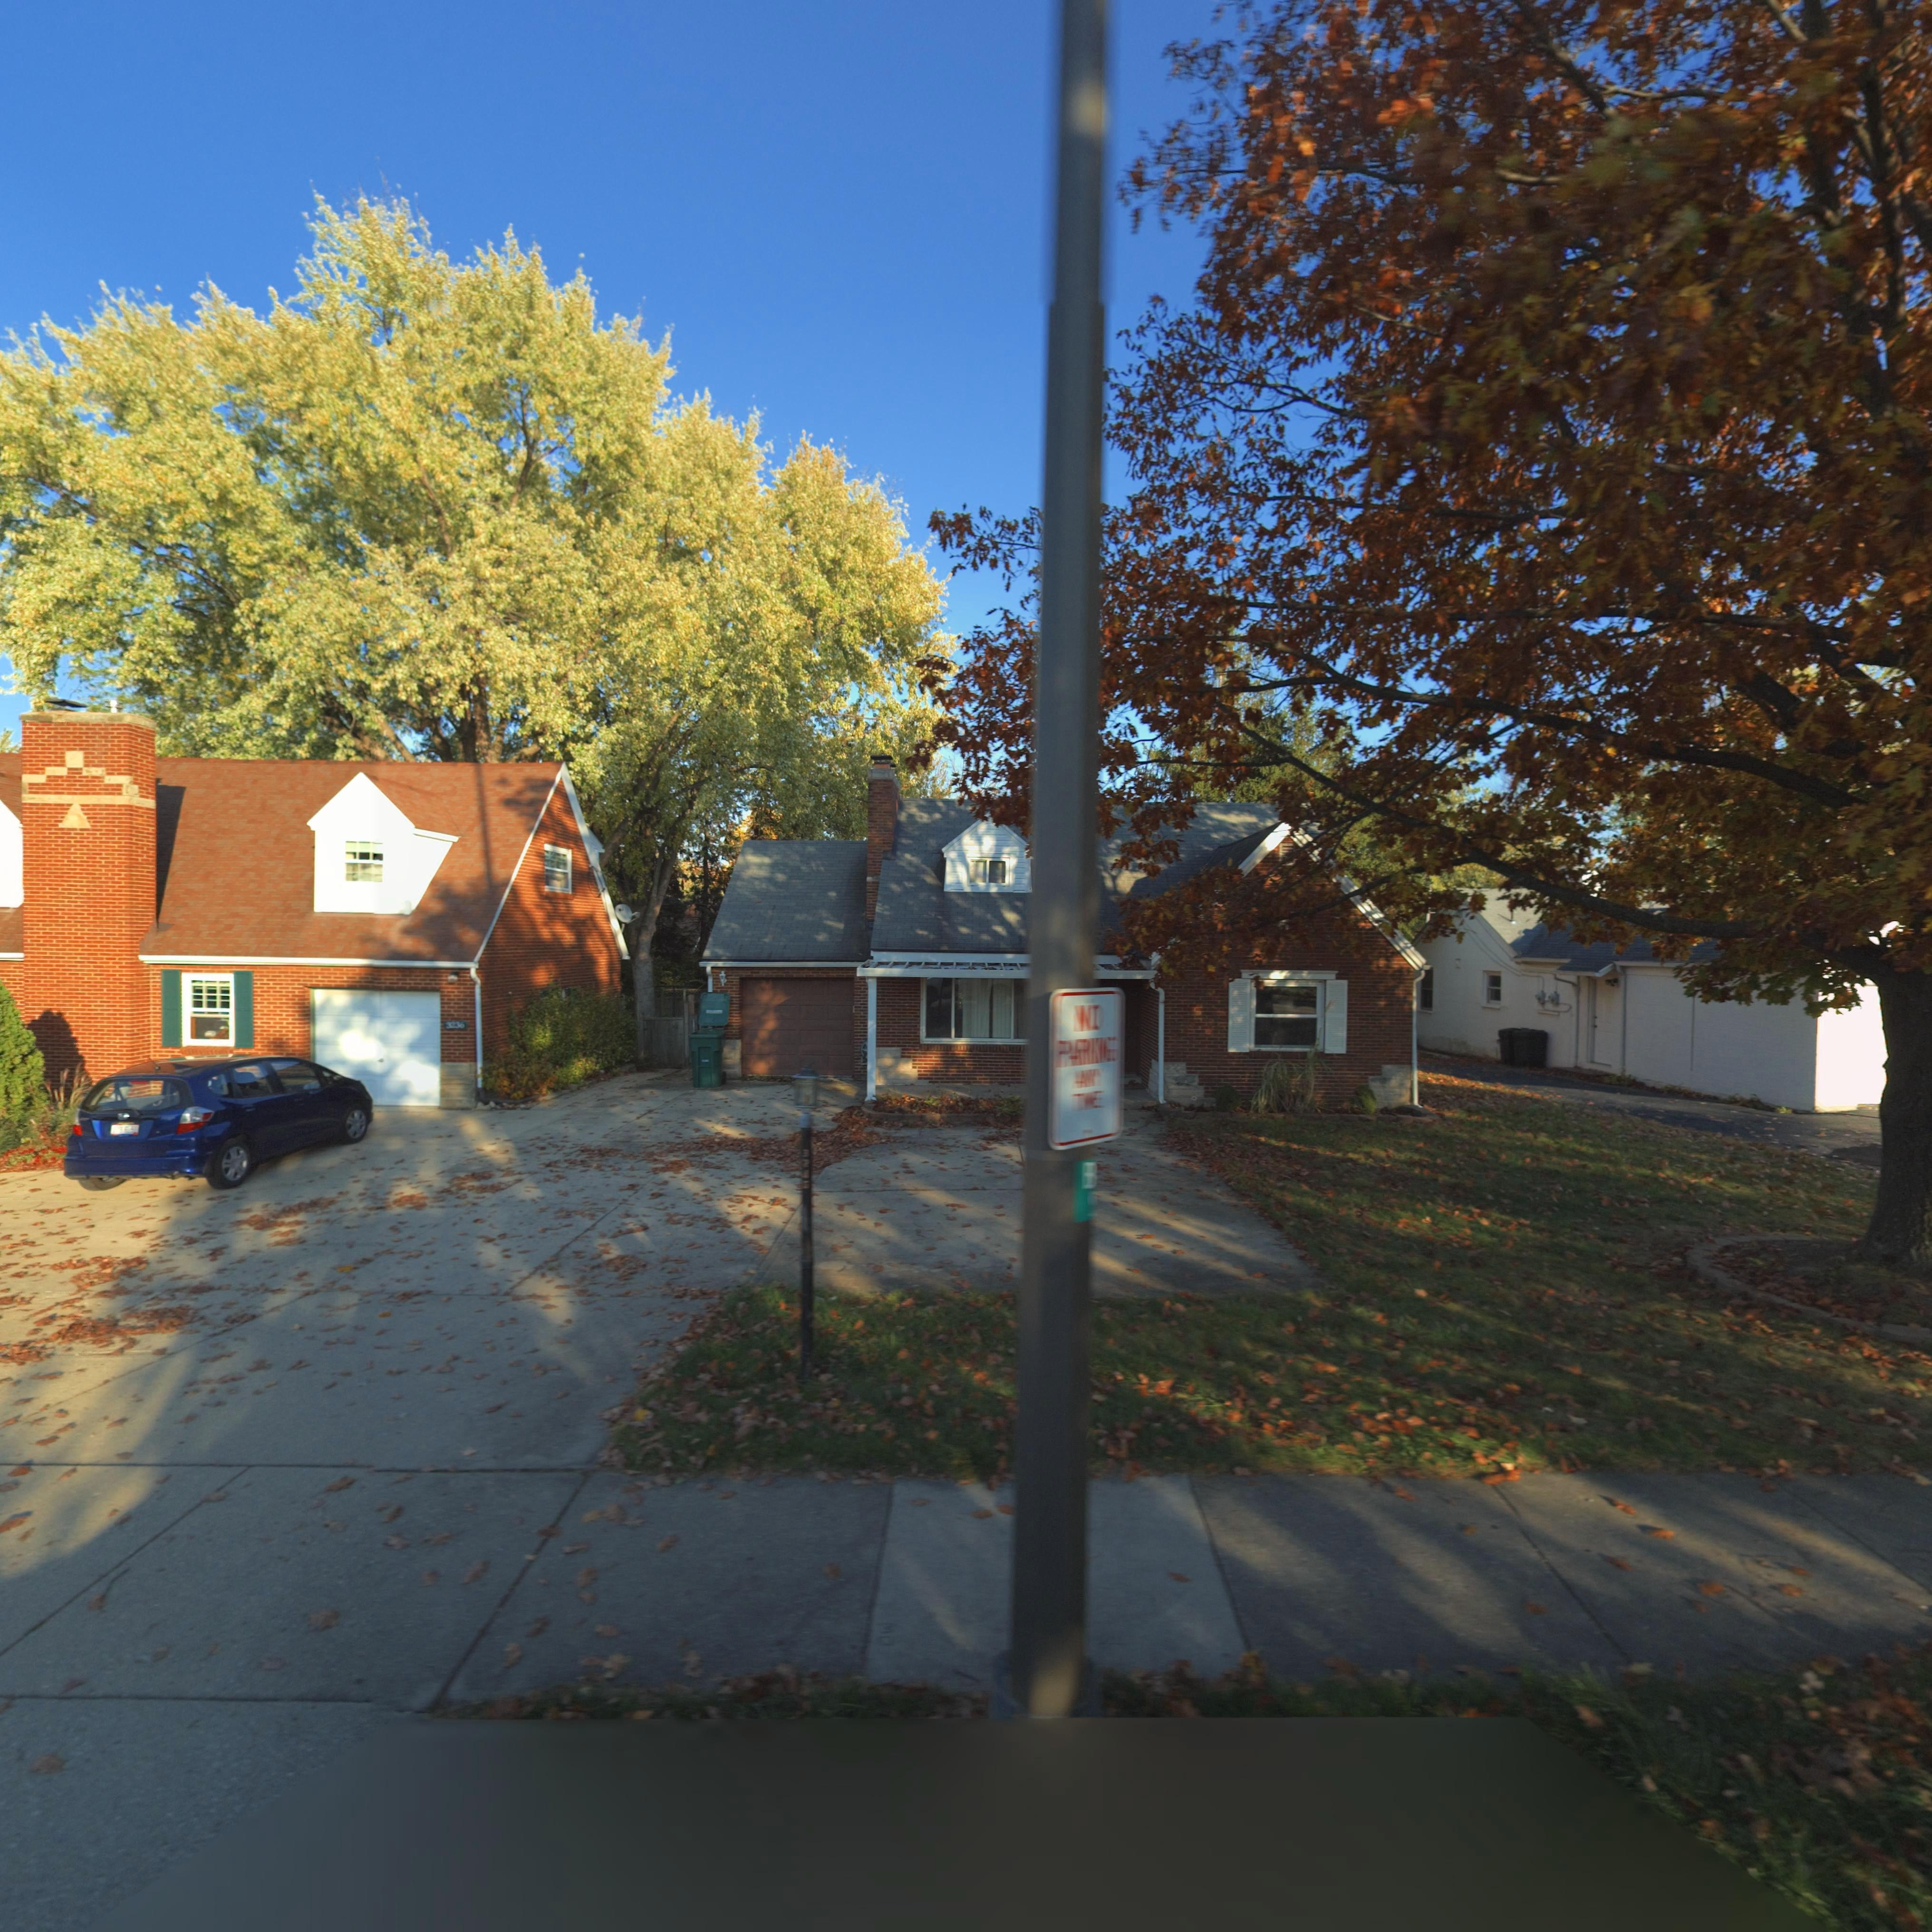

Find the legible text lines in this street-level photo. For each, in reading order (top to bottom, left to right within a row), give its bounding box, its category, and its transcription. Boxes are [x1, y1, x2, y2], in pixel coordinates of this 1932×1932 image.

[445, 1020, 466, 1030] StreetNumber: 3236